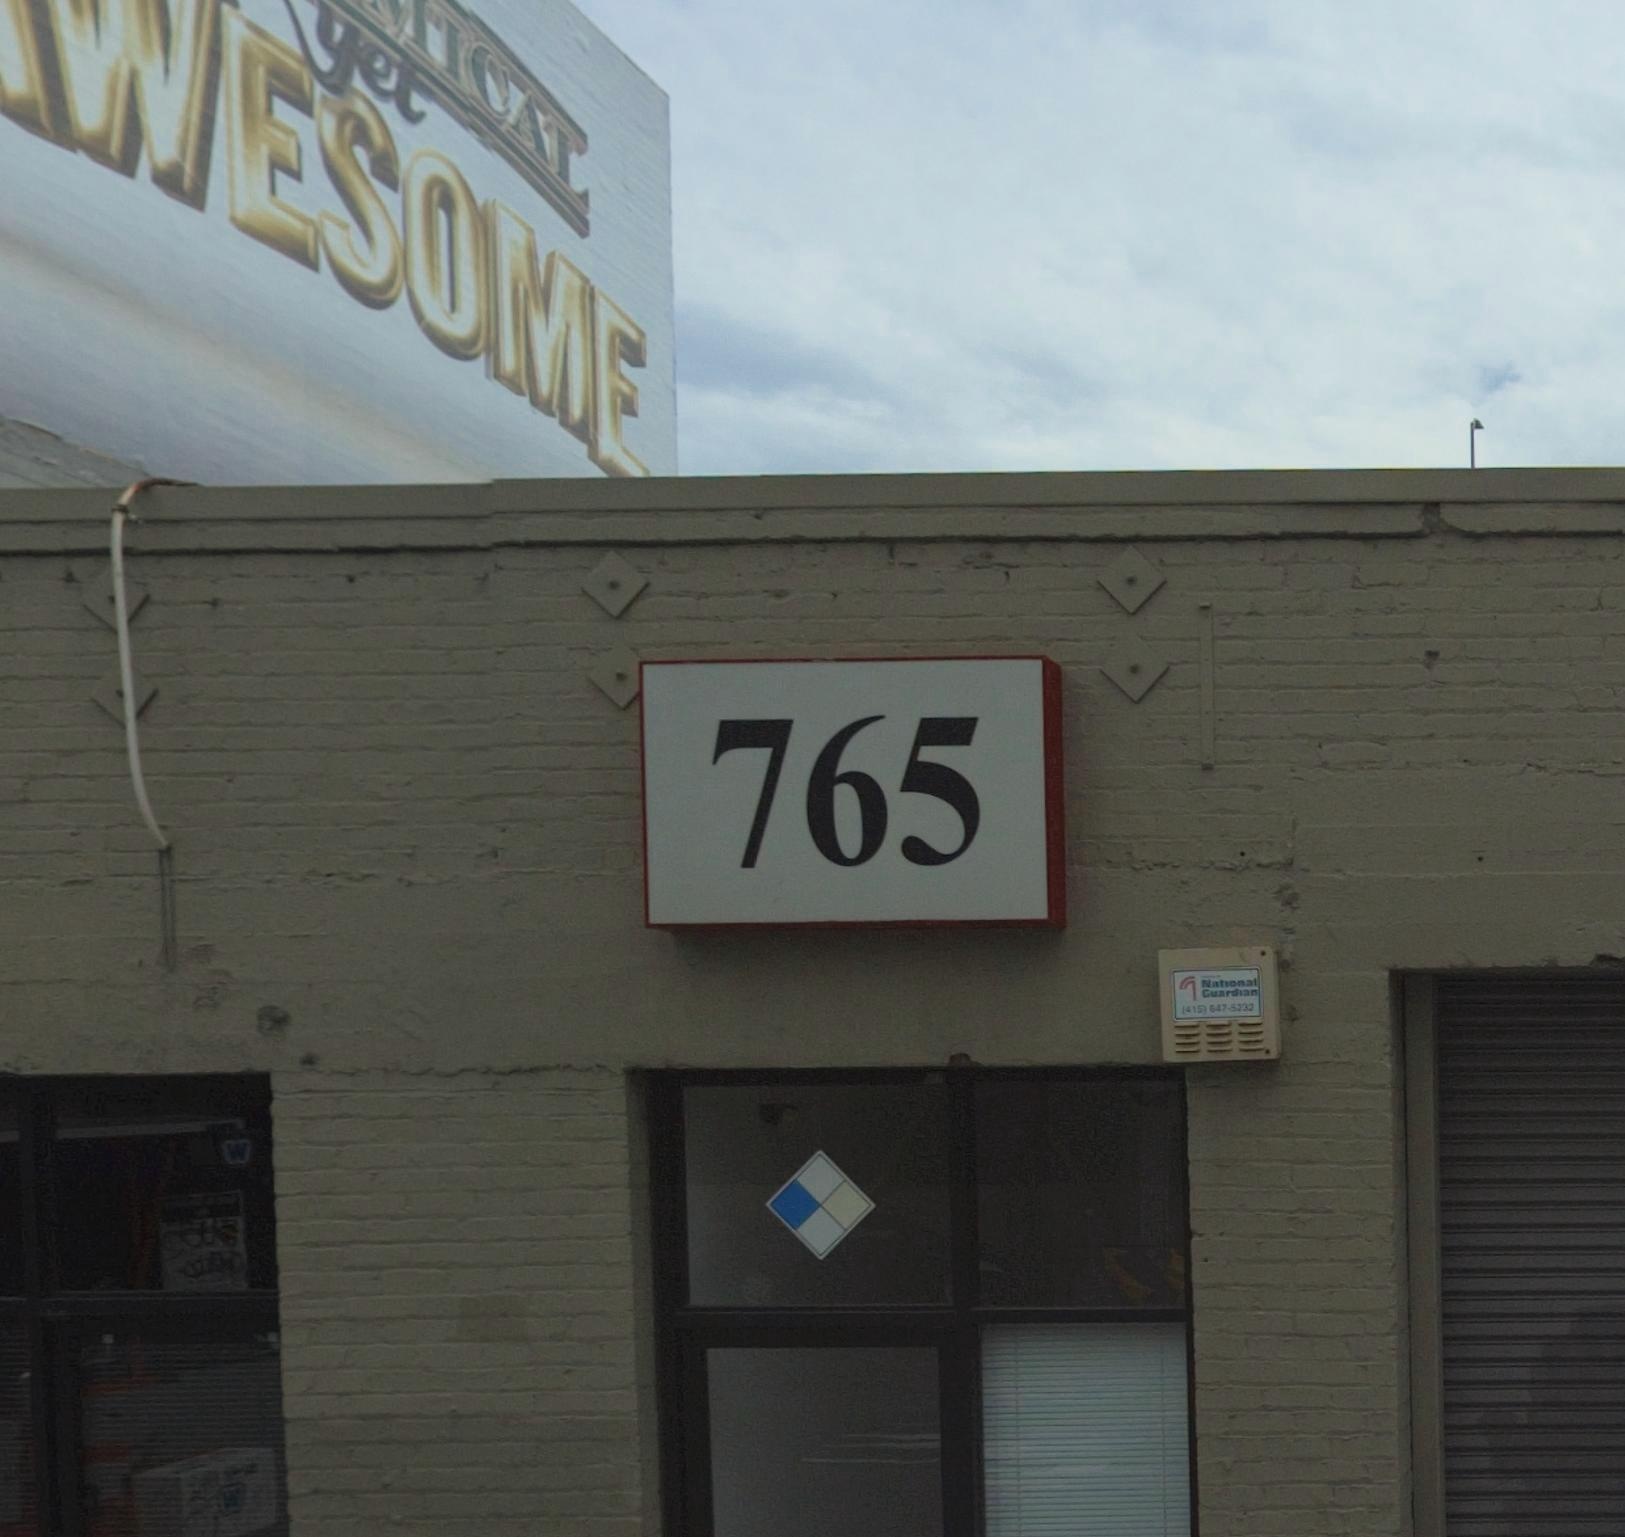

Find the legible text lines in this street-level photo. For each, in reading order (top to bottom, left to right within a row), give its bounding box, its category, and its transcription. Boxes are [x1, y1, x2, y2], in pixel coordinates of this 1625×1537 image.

[278, 0, 434, 132] None: yet
[436, 4, 597, 229] None: ICAL
[214, 1, 659, 481] None: ESOME
[706, 711, 992, 873] StreetNumber: 765
[1183, 1000, 1258, 1016] None: 415)647-5333
[1199, 975, 1260, 990] None: National
[1199, 986, 1261, 1000] None: Guardian